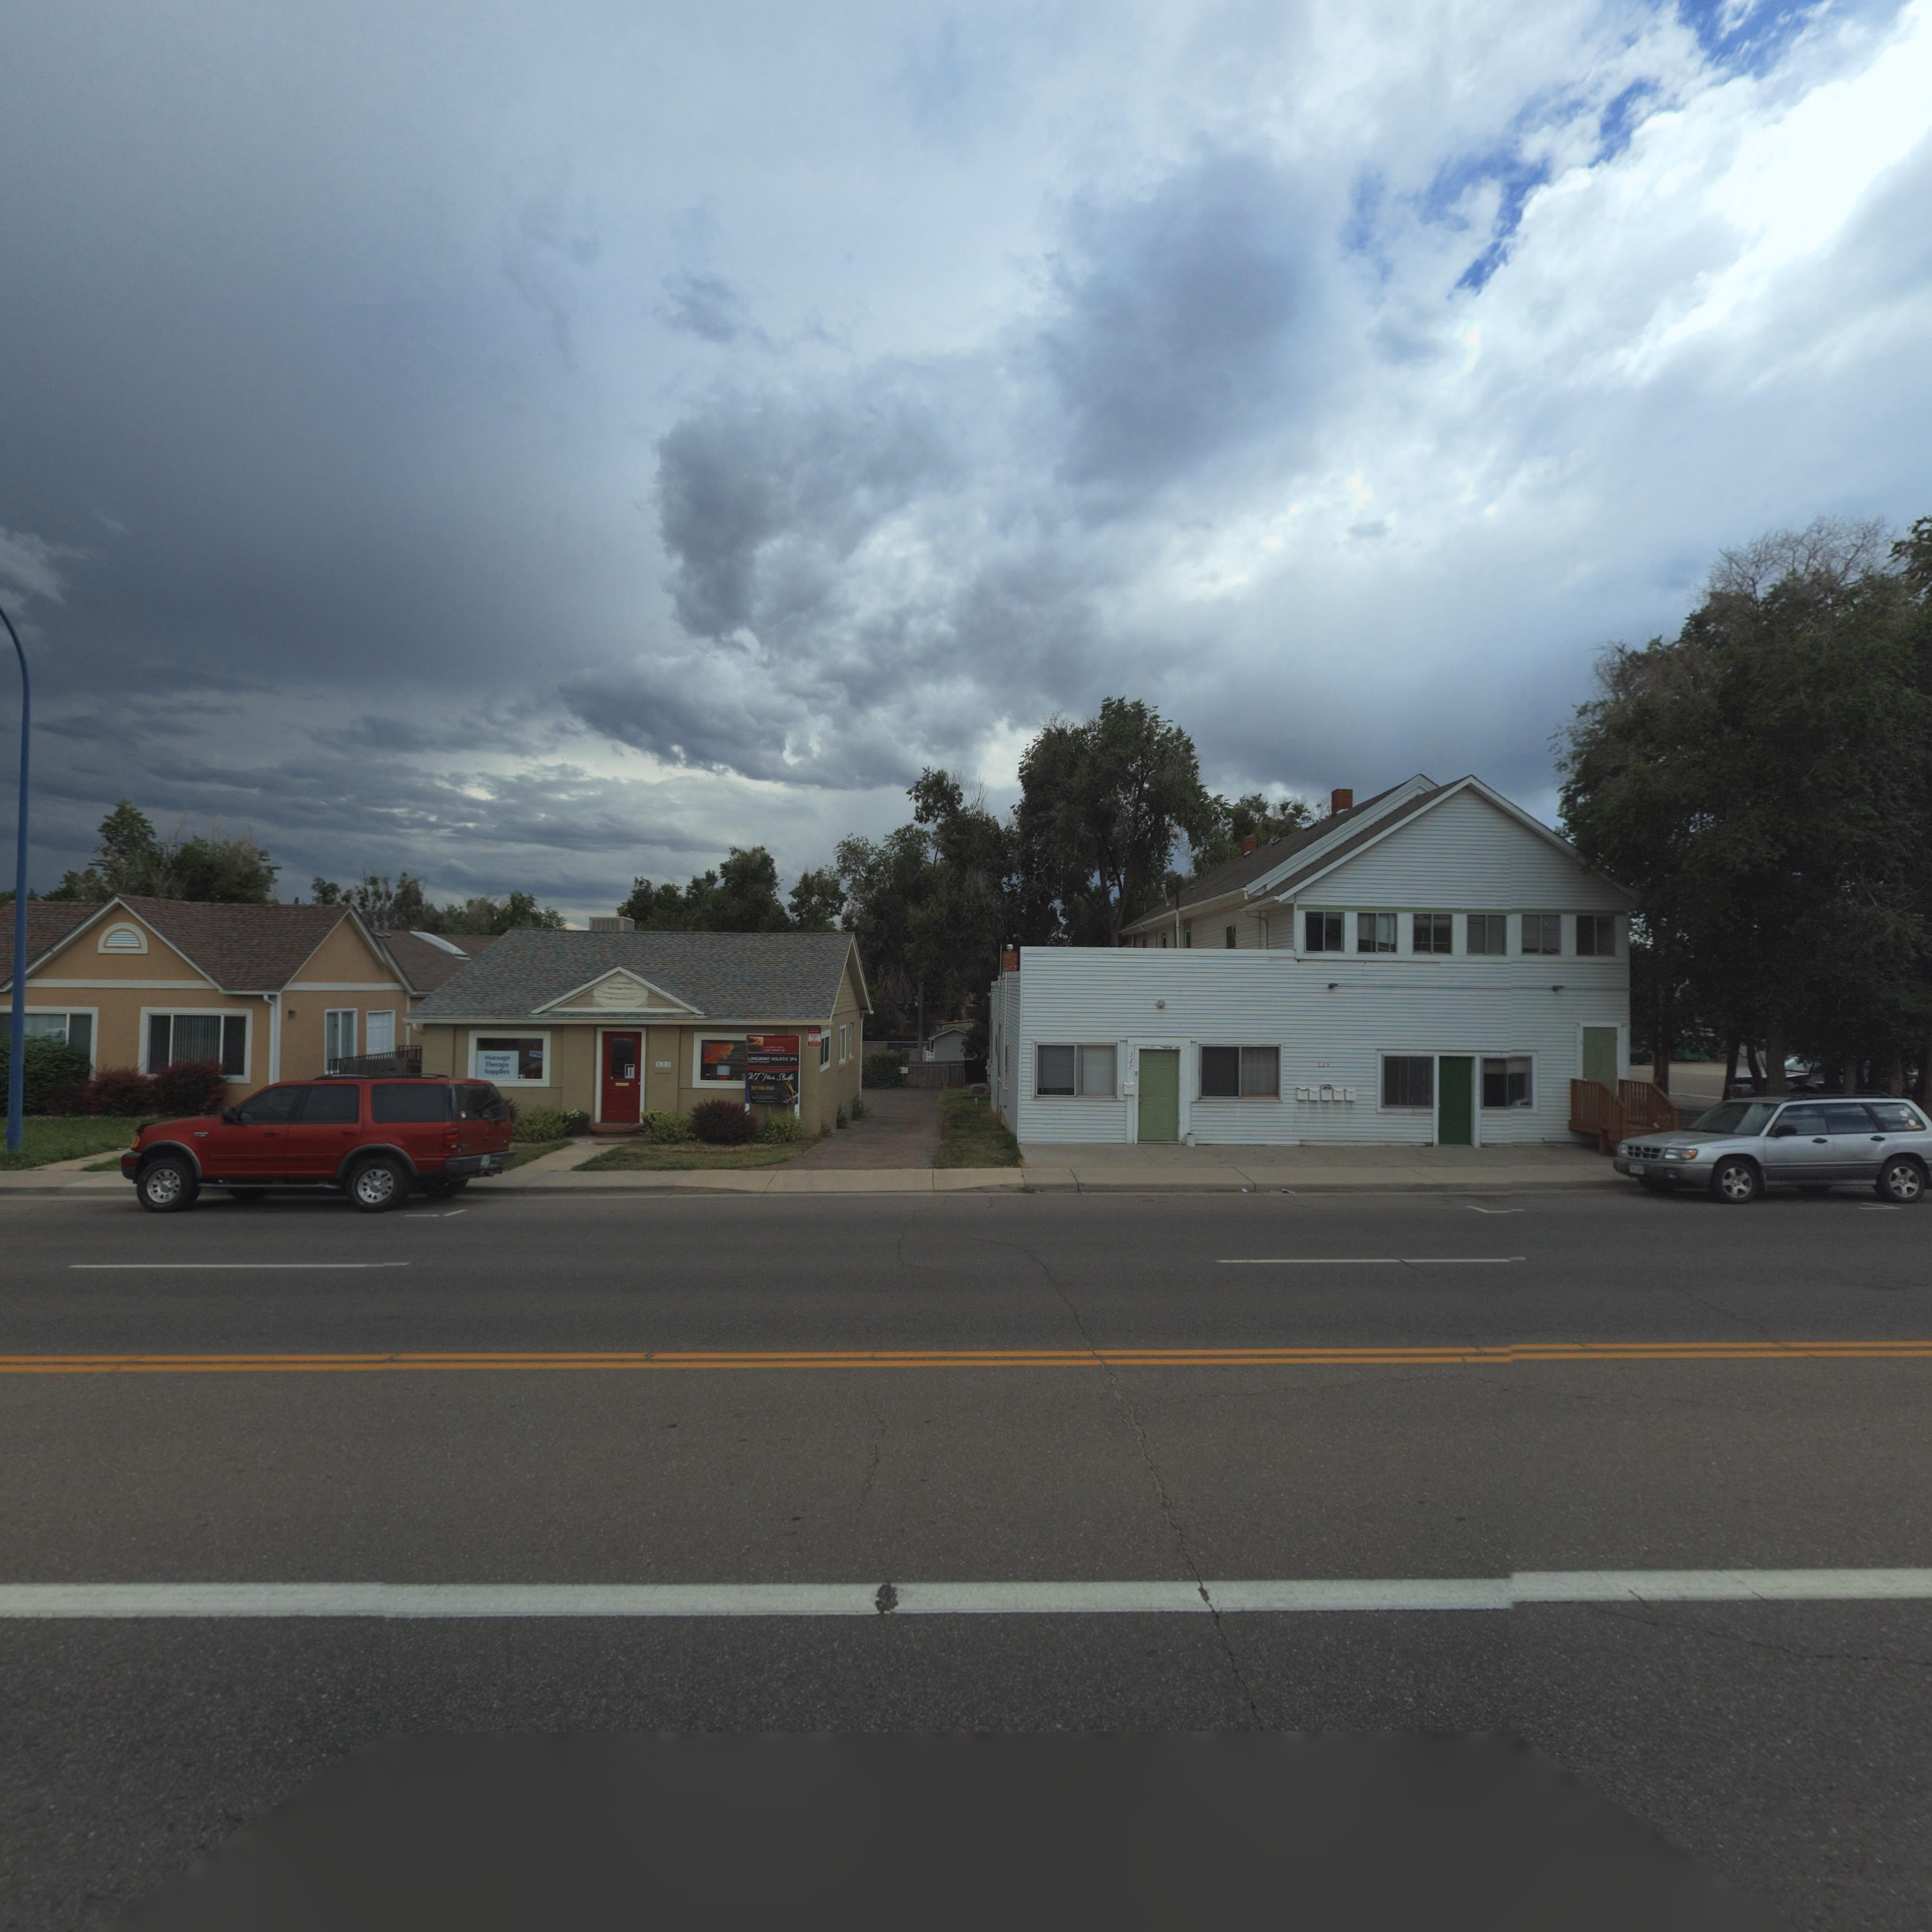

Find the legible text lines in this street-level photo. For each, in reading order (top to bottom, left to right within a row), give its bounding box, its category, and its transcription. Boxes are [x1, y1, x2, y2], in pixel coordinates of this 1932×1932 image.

[657, 1062, 670, 1067] StreetNumber: 325
[747, 1056, 797, 1061] BusinessName: LONGMONT HOLISTIC SPA
[1129, 1051, 1133, 1070] StreetNumber: 327
[748, 1072, 794, 1080] BusinessName: KT Hair Studio